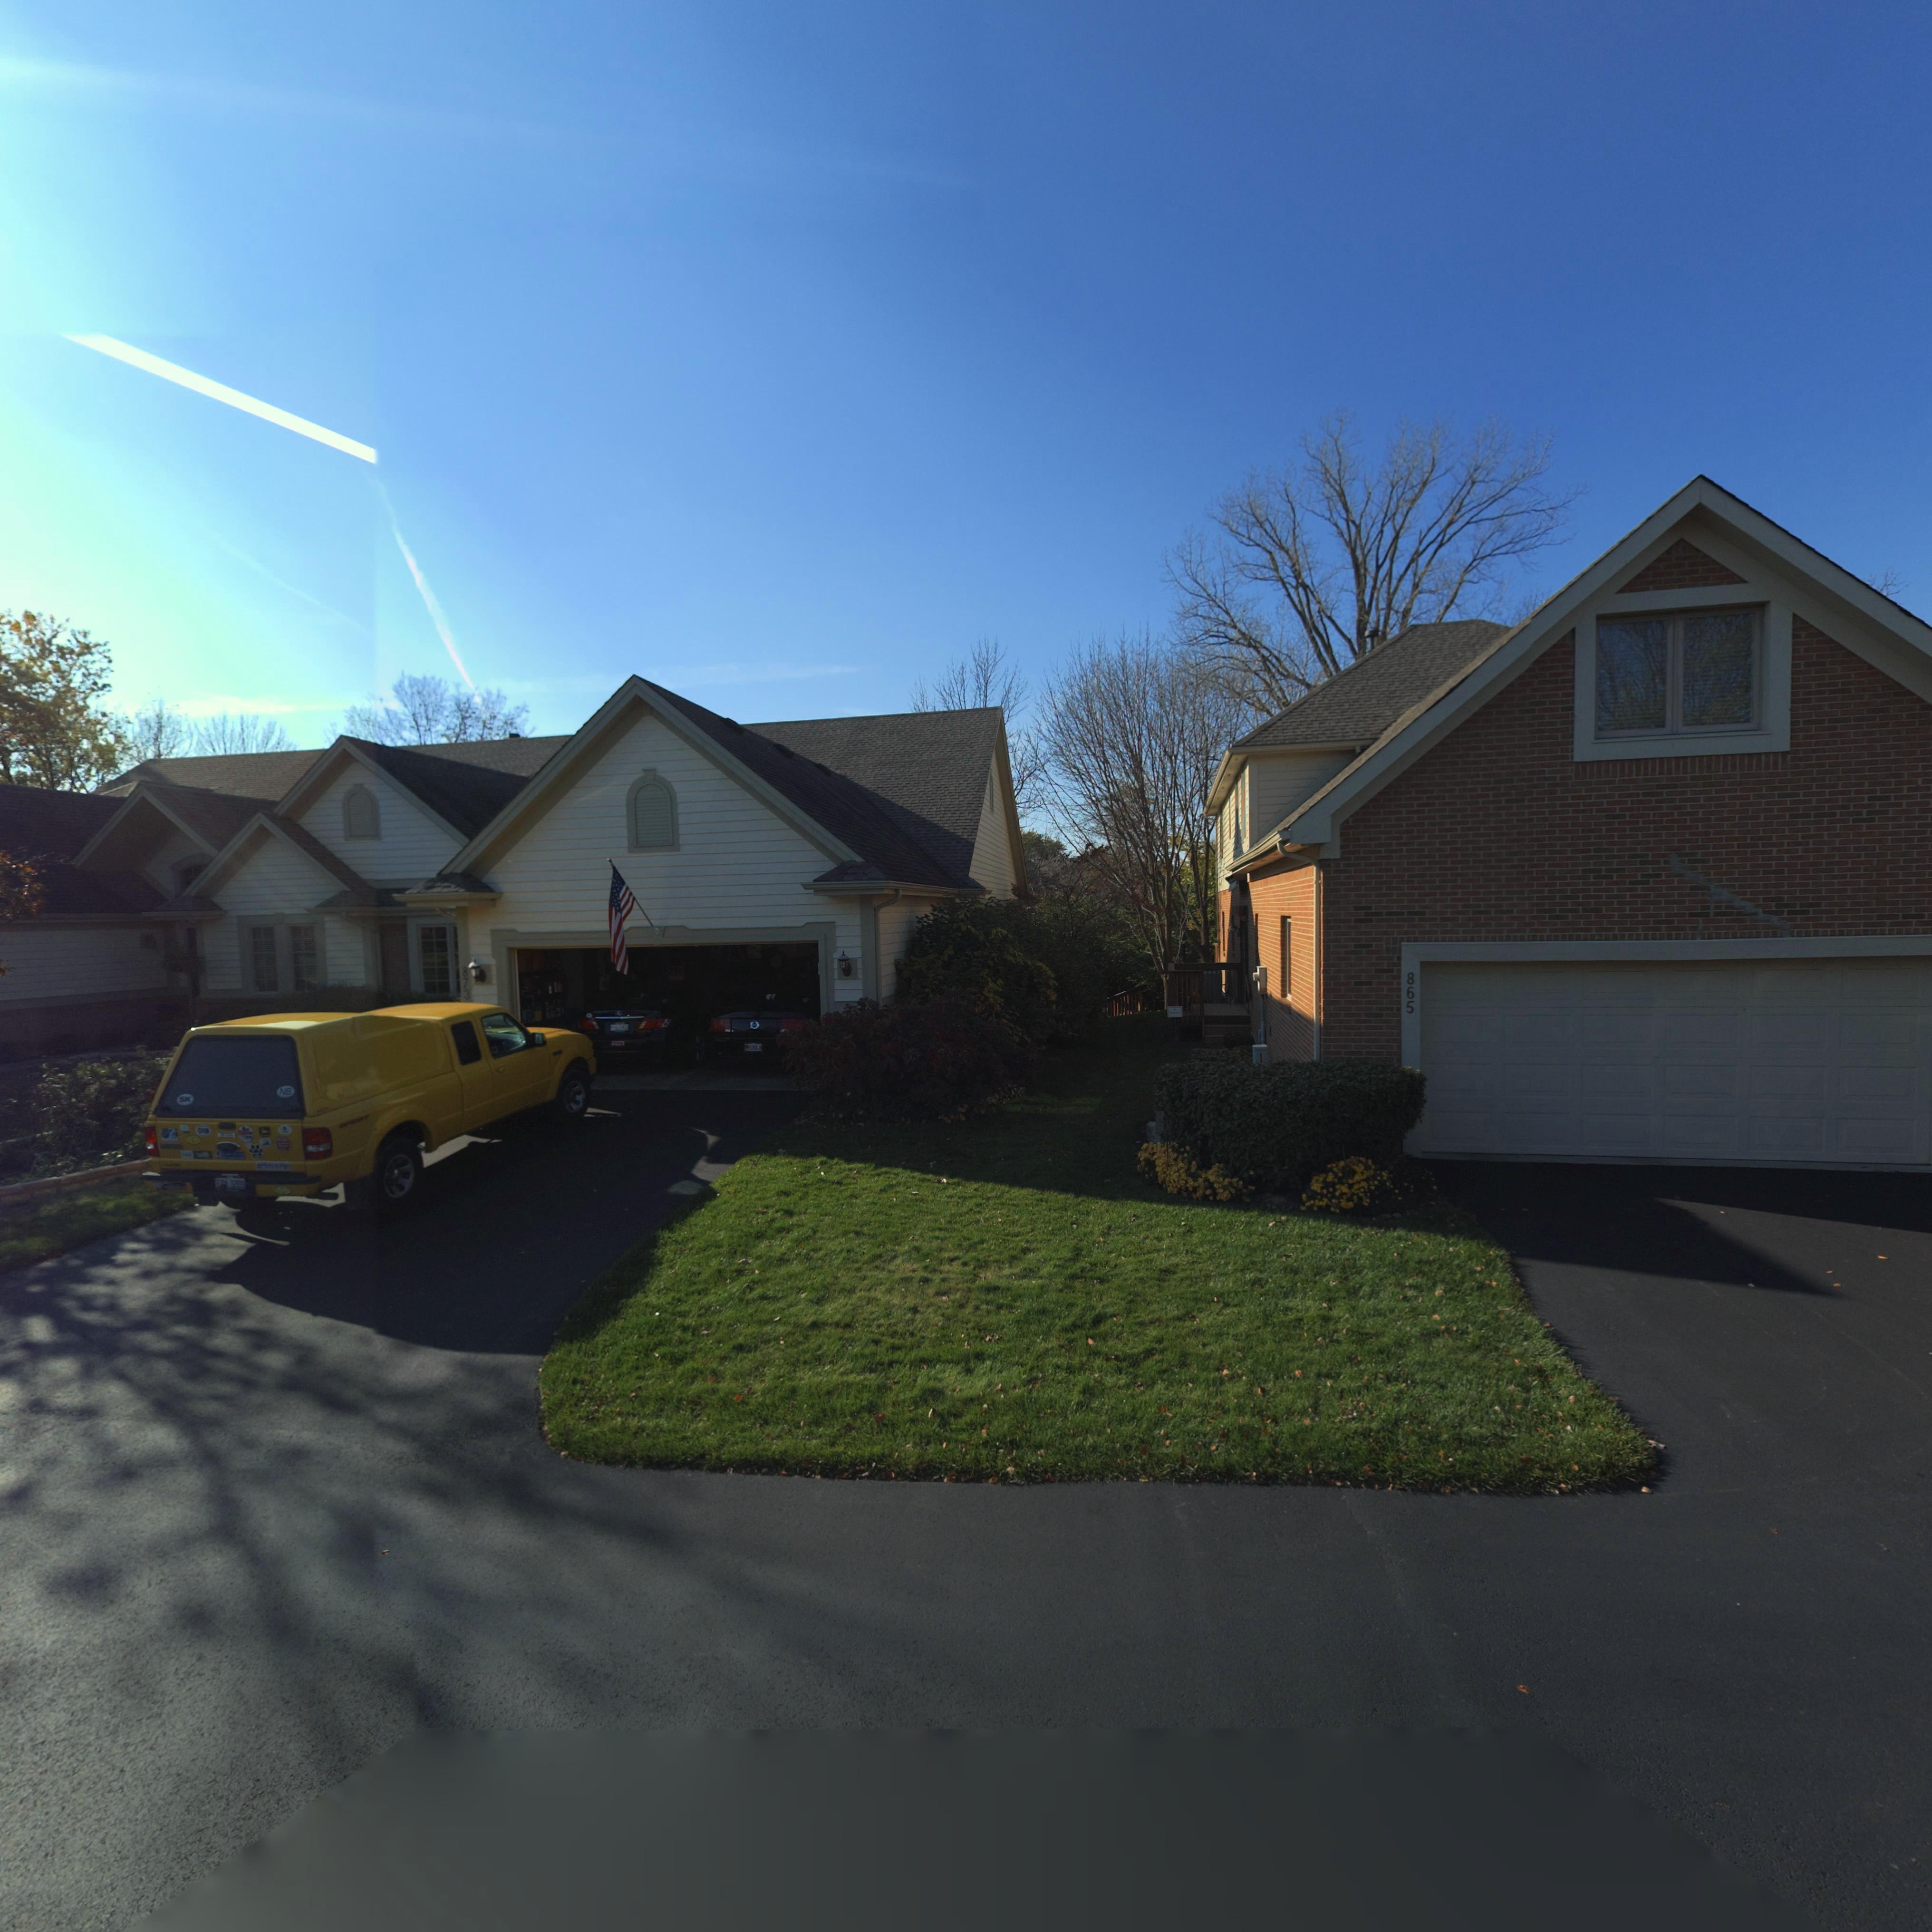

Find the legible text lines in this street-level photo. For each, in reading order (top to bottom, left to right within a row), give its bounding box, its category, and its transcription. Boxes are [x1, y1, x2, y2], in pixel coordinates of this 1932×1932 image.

[1405, 971, 1415, 1014] StreetNumber: 865